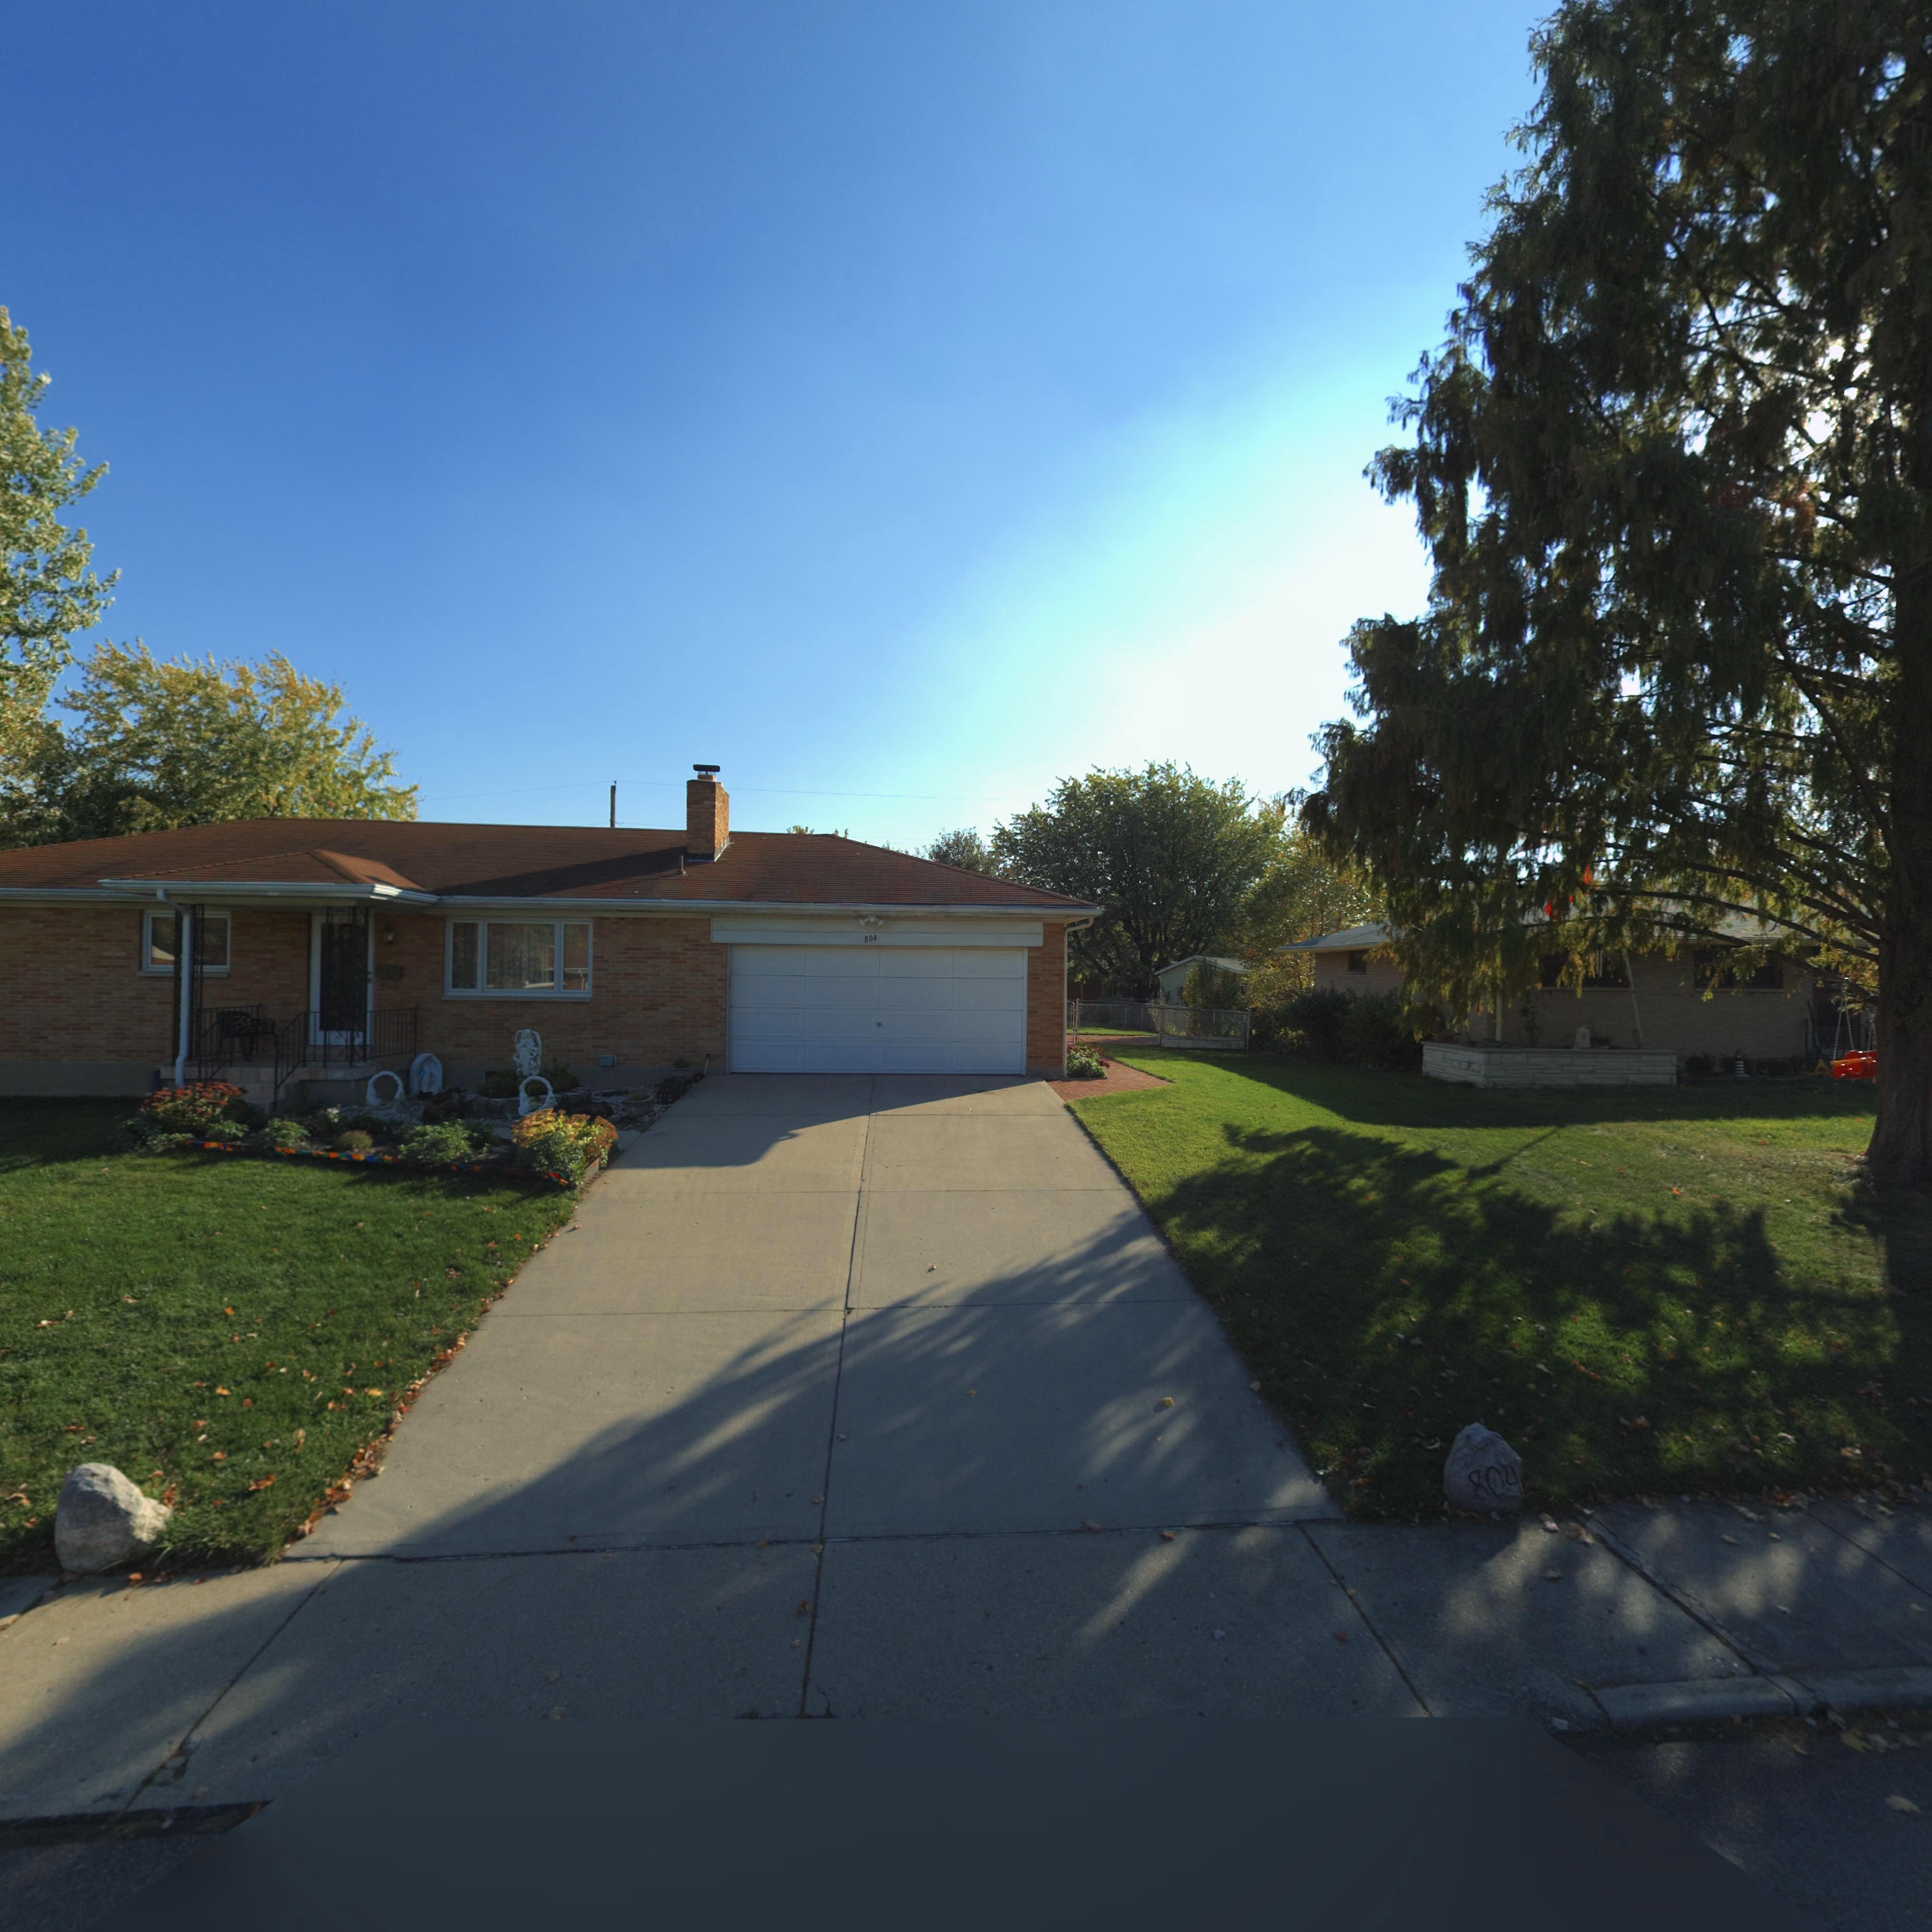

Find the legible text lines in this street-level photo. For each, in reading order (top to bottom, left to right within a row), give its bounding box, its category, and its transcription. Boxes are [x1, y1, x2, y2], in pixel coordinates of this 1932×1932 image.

[863, 934, 877, 944] StreetNumber: 804
[1466, 1461, 1526, 1504] StreetNumber: 804